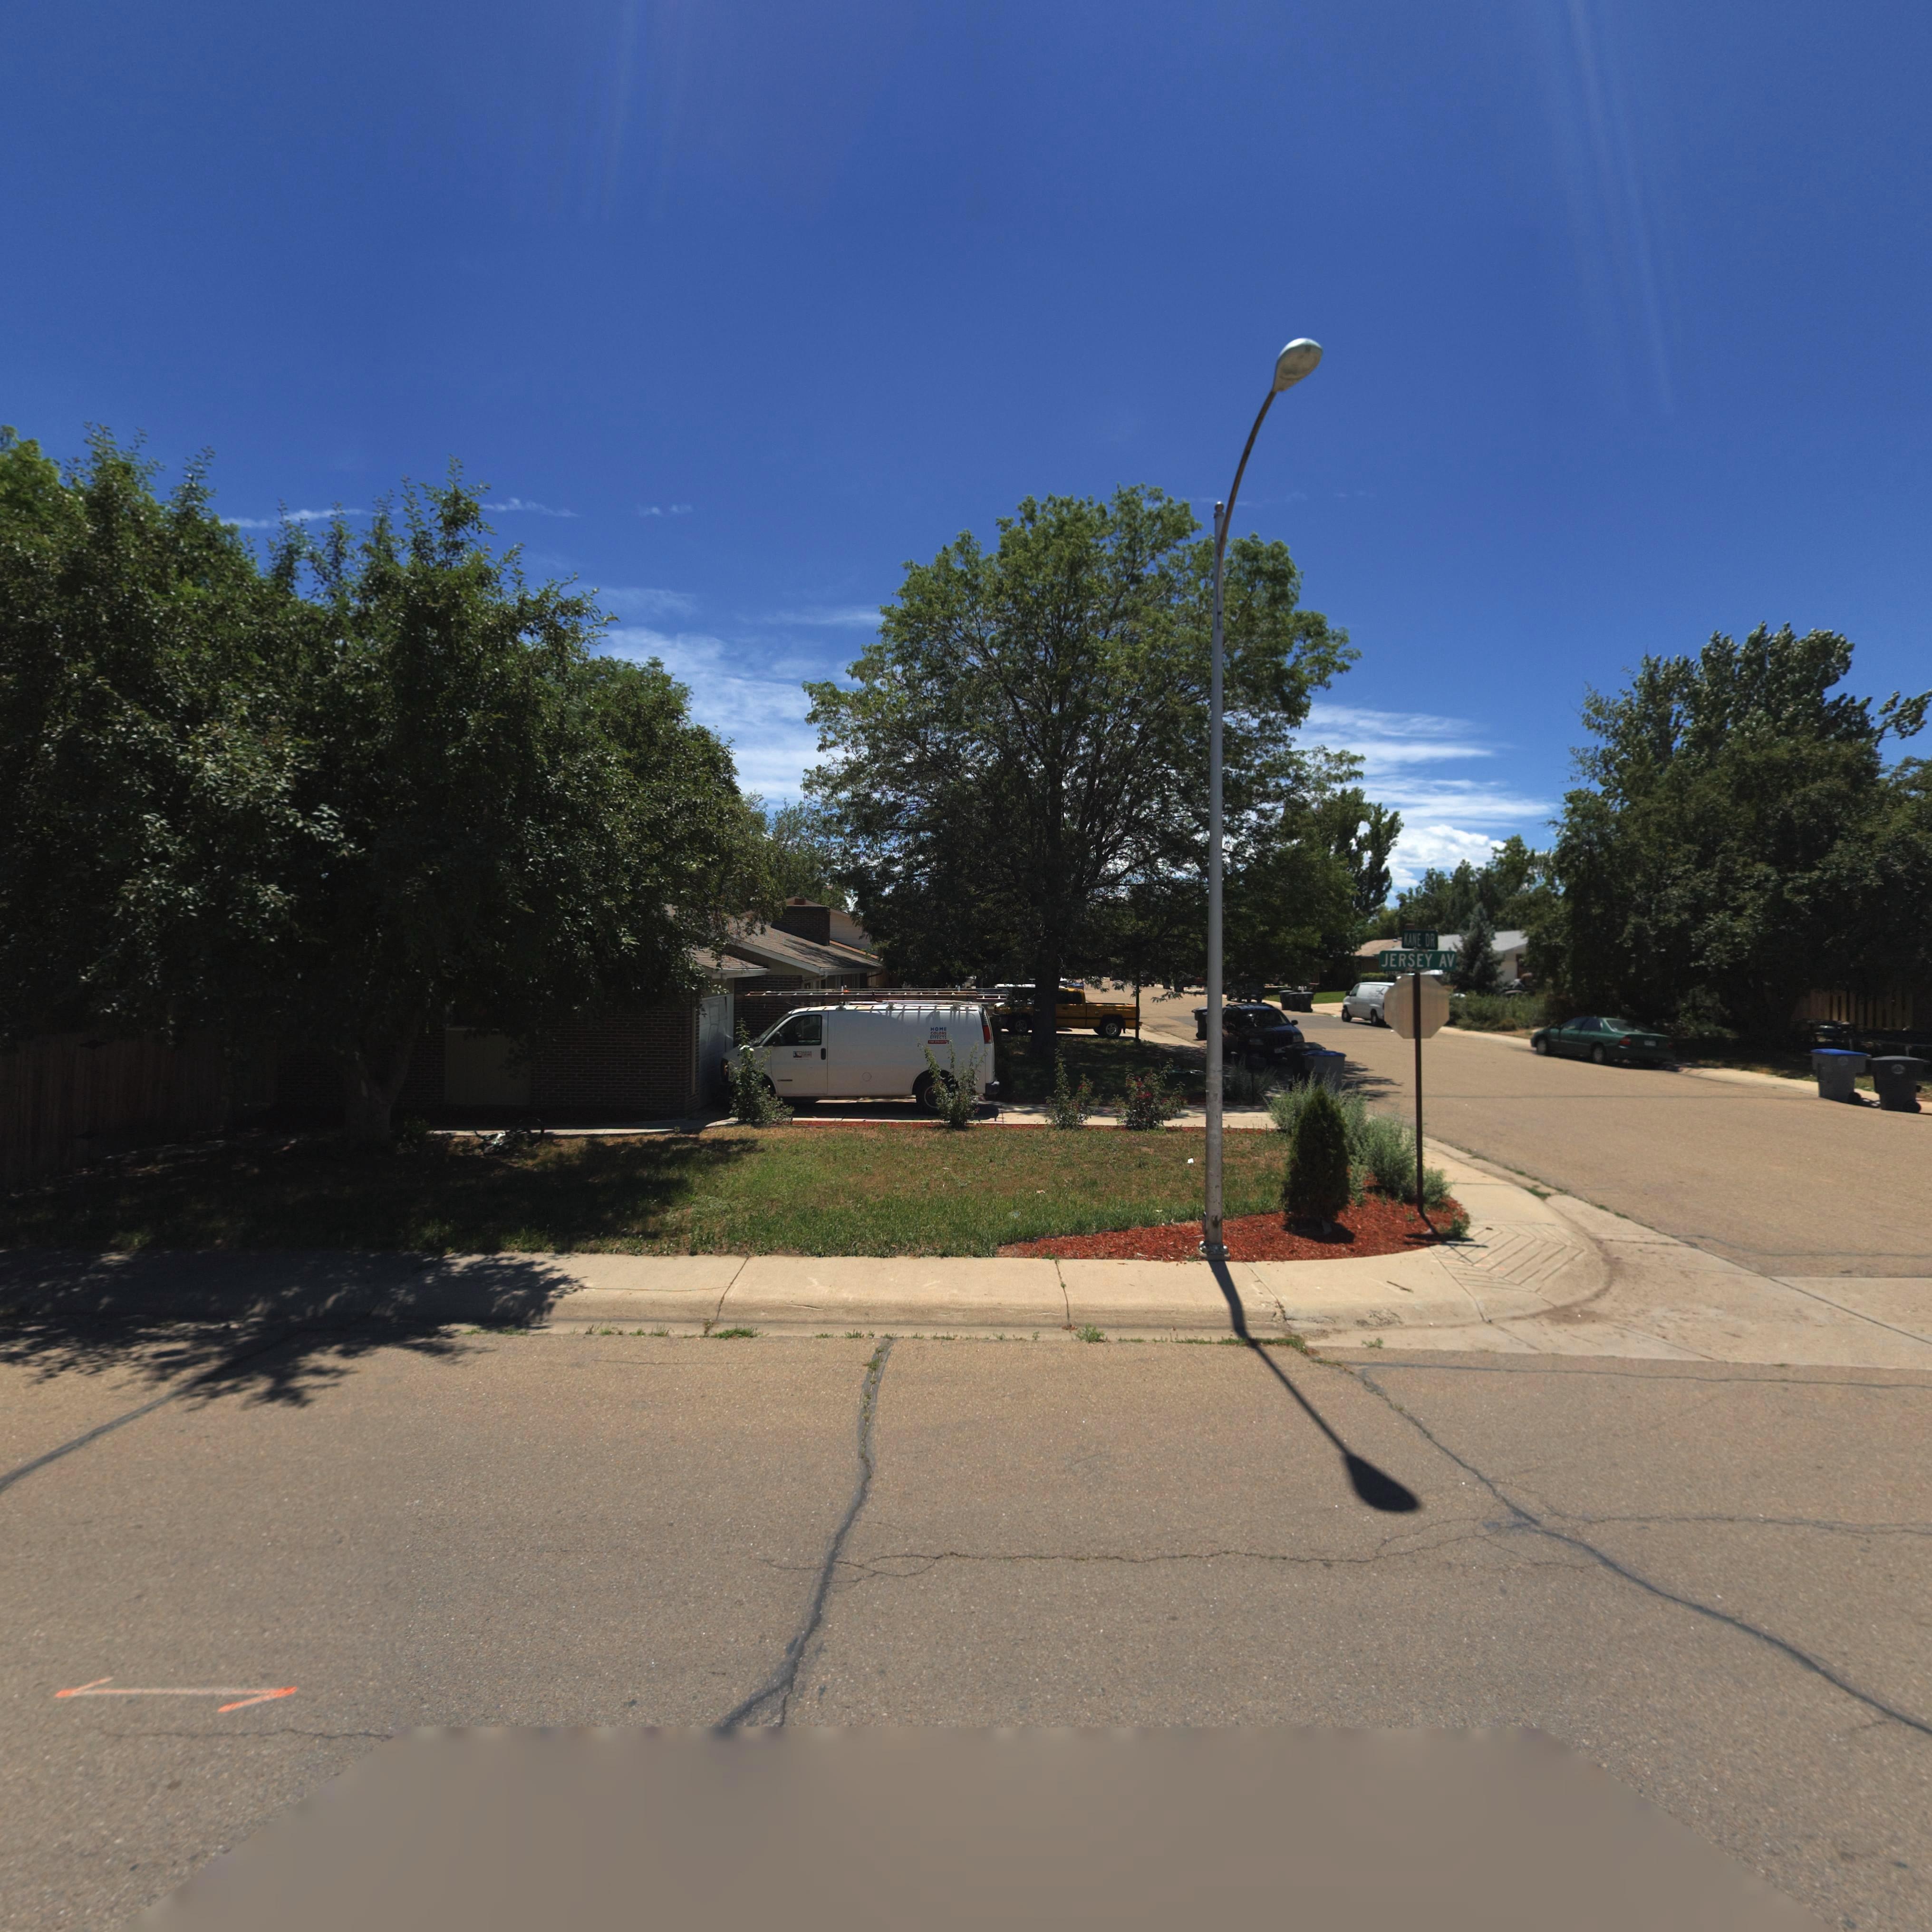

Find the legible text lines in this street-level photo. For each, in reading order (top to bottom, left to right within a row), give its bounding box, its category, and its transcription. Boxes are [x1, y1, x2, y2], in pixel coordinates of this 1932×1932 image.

[1403, 932, 1436, 948] StreetName: KANE DR
[1380, 952, 1456, 967] StreetName: JERSEY AV